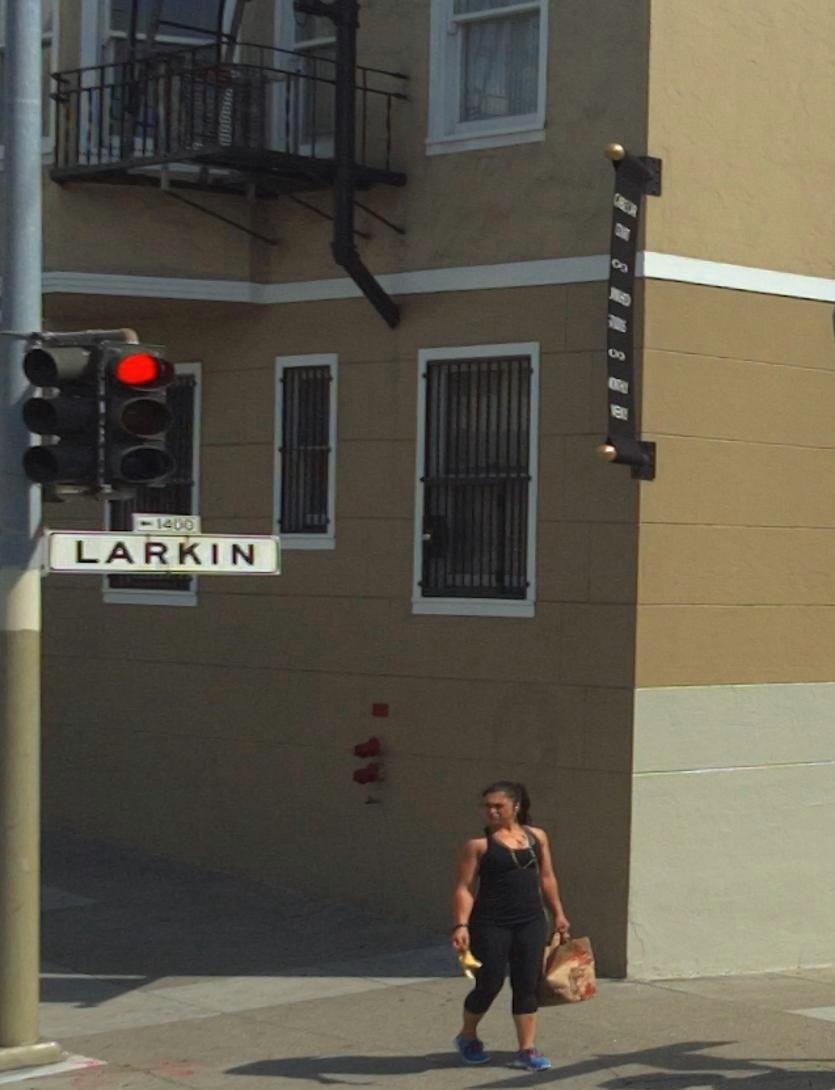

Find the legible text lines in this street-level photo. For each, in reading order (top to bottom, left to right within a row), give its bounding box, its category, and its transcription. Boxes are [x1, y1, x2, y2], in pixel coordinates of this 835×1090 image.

[135, 516, 196, 534] StreetNumberRange: <-1400
[72, 538, 257, 568] StreetName: LARKIN